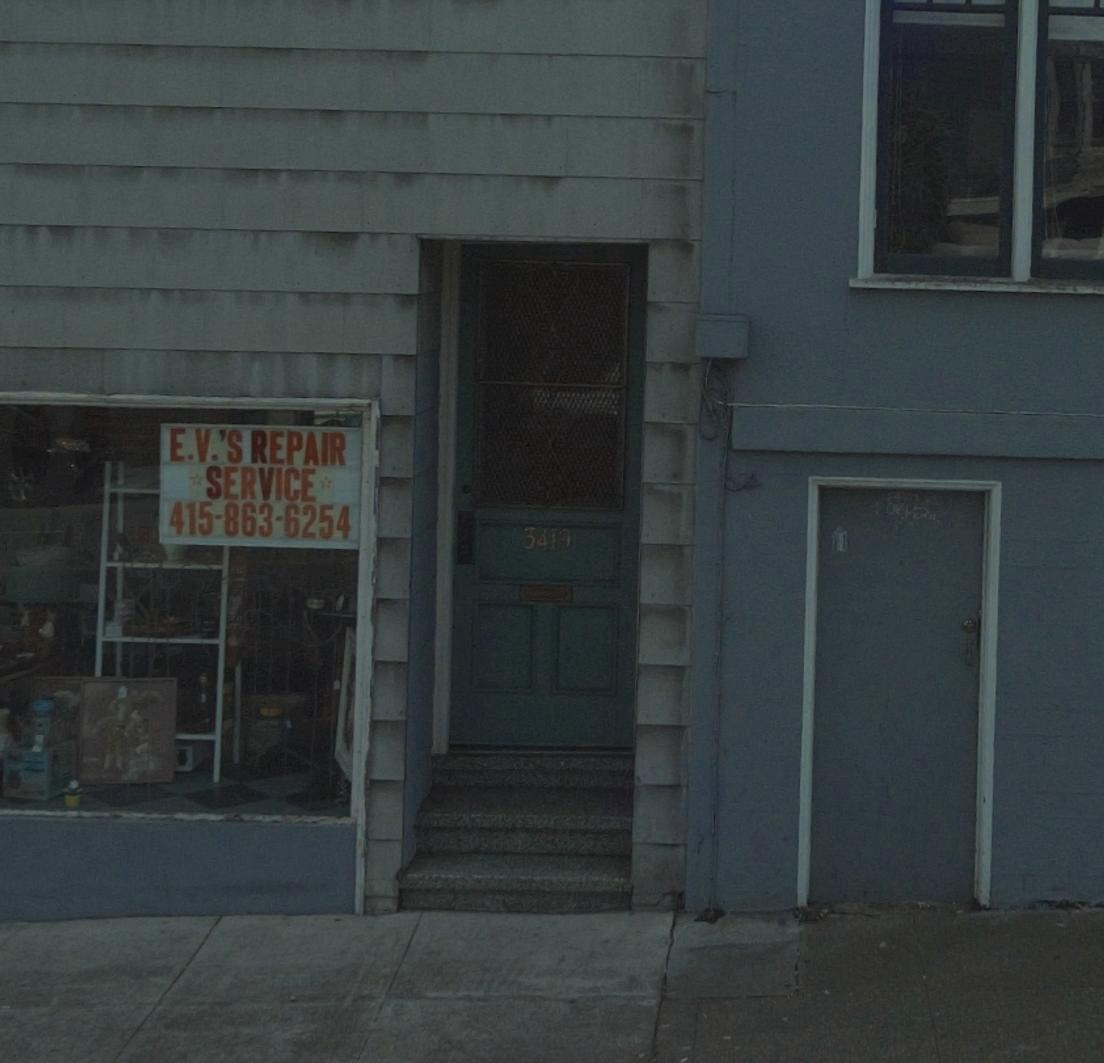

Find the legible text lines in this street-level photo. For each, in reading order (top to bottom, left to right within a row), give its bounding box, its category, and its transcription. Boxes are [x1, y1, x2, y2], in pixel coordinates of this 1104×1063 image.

[169, 427, 347, 466] BusinessName: E.V.*S REPAIR
[205, 464, 320, 503] BusinessName: SERVICE
[168, 500, 353, 540] None: 415-863-6254
[522, 527, 573, 551] StreetNumber: 3419